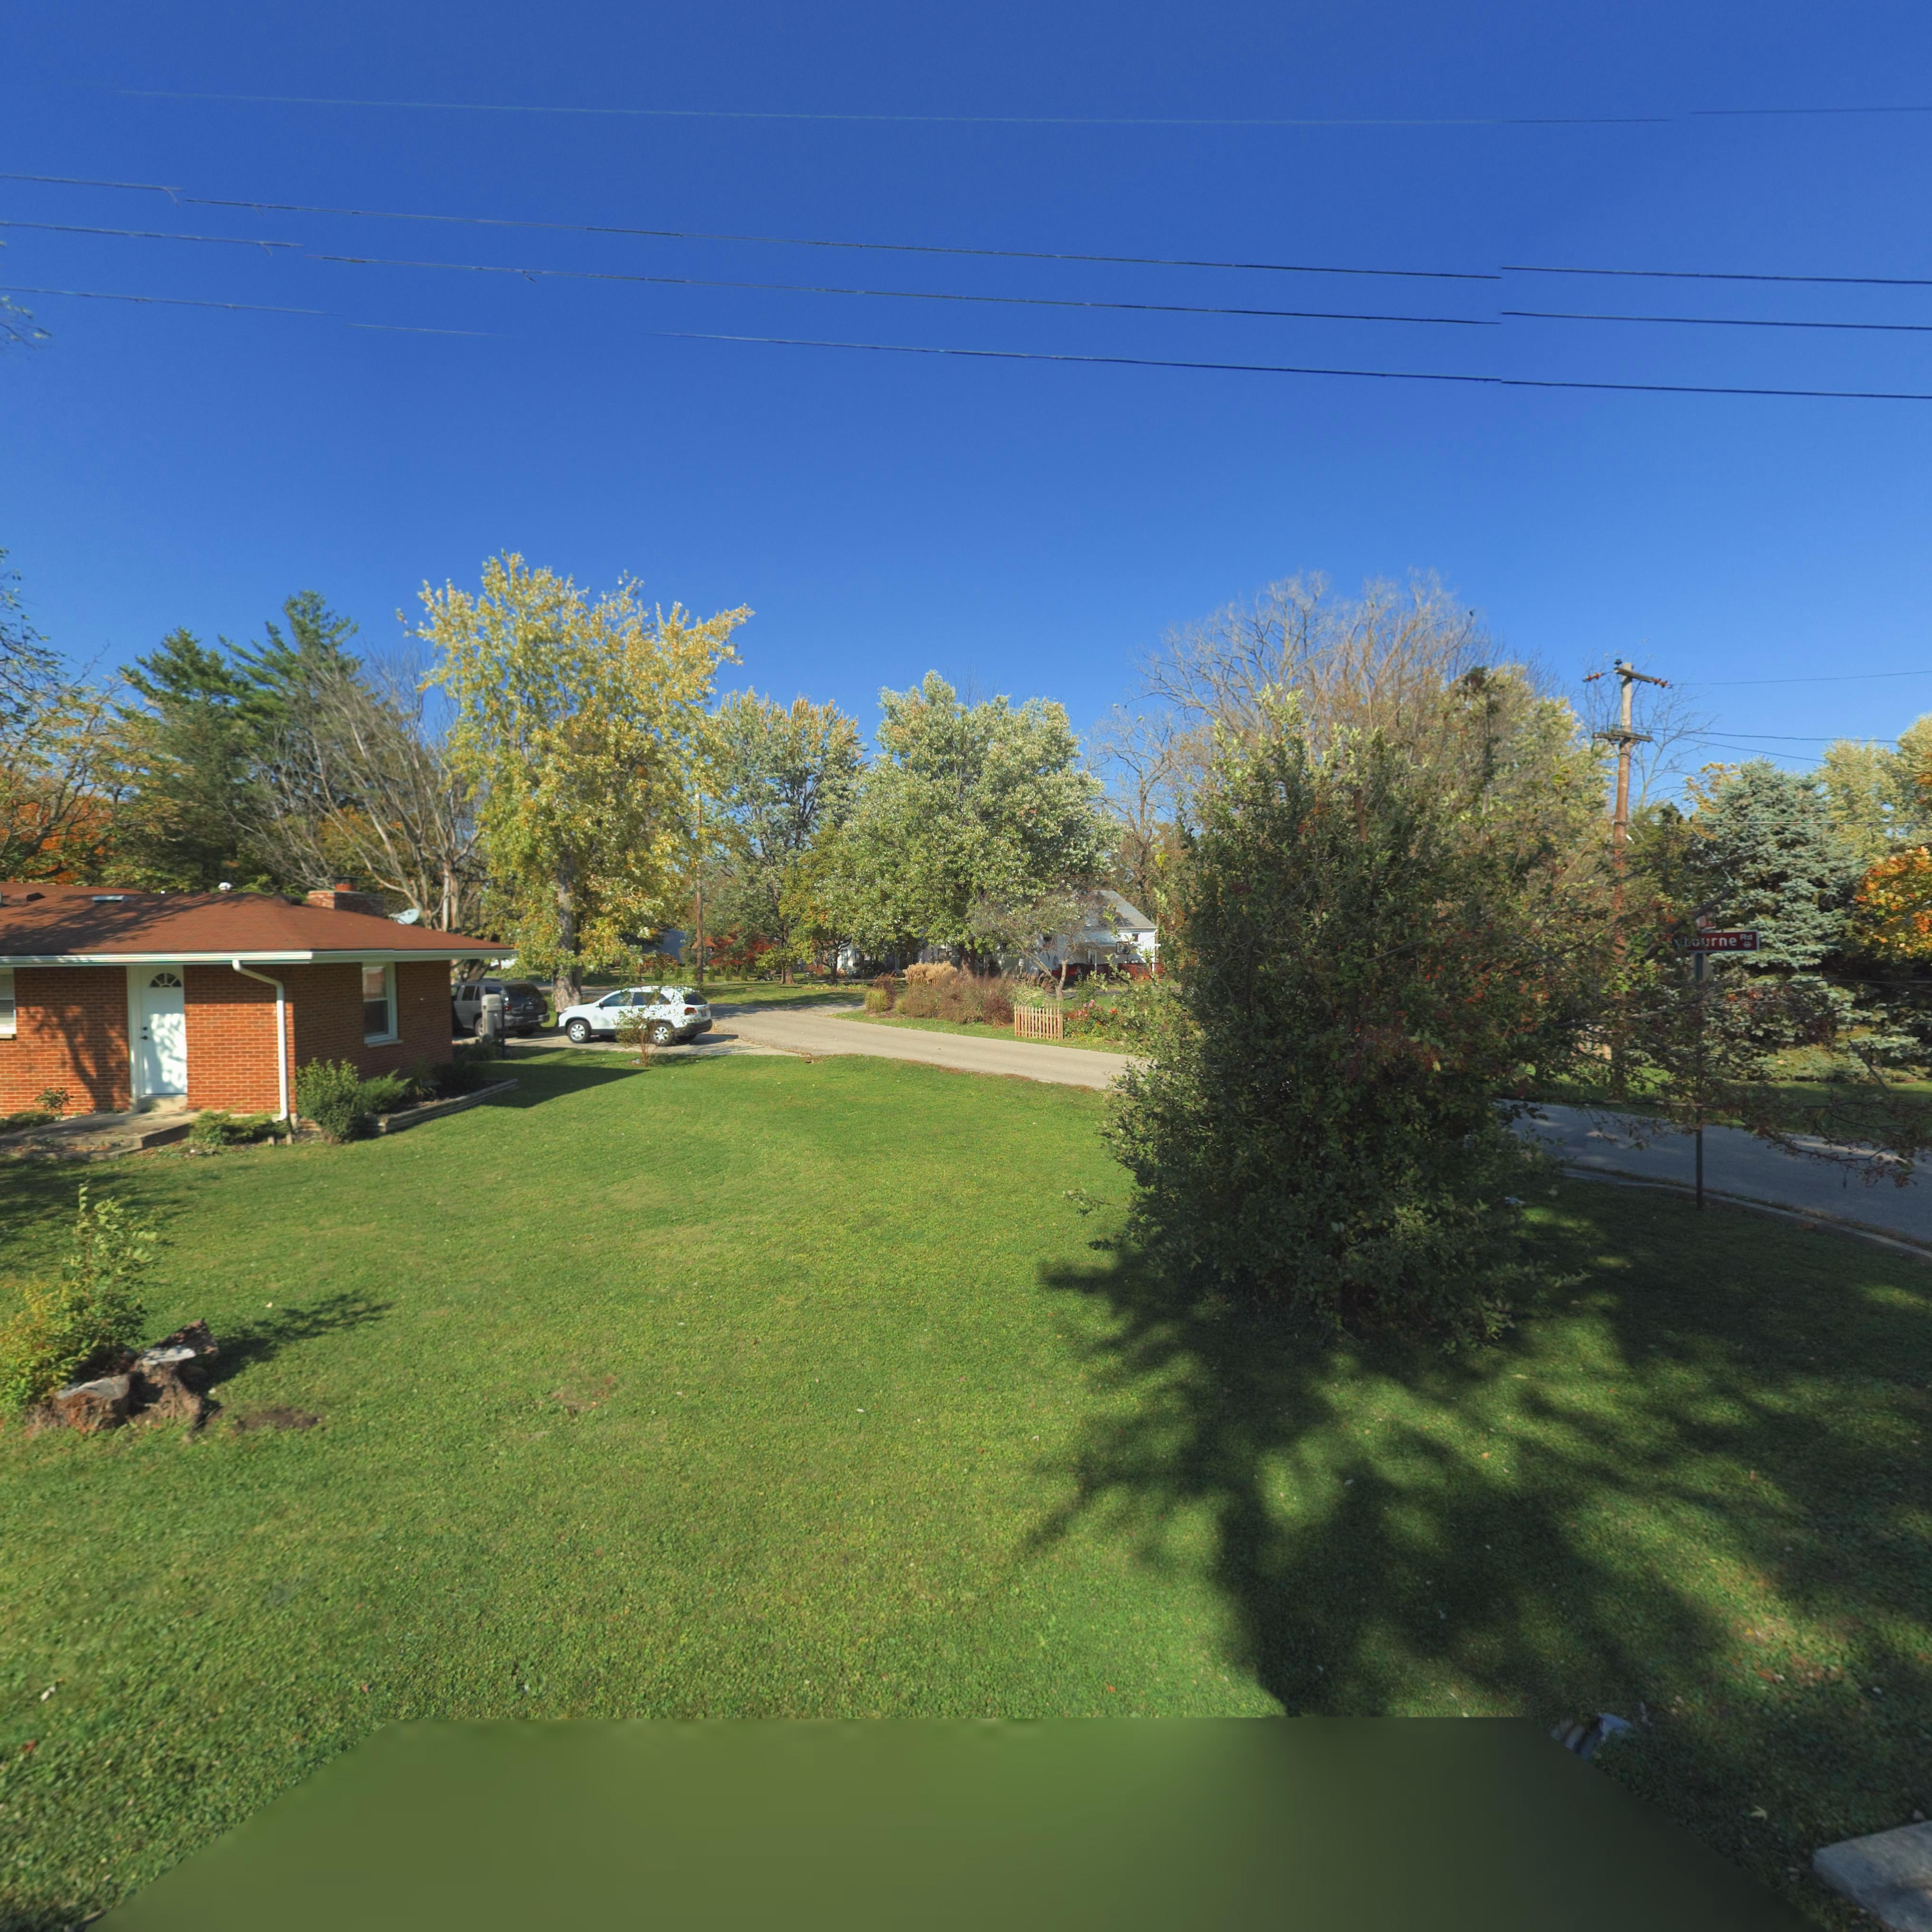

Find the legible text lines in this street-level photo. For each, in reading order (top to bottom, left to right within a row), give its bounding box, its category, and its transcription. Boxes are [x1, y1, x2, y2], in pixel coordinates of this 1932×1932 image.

[1710, 933, 1754, 948] StreetName: rne Rd